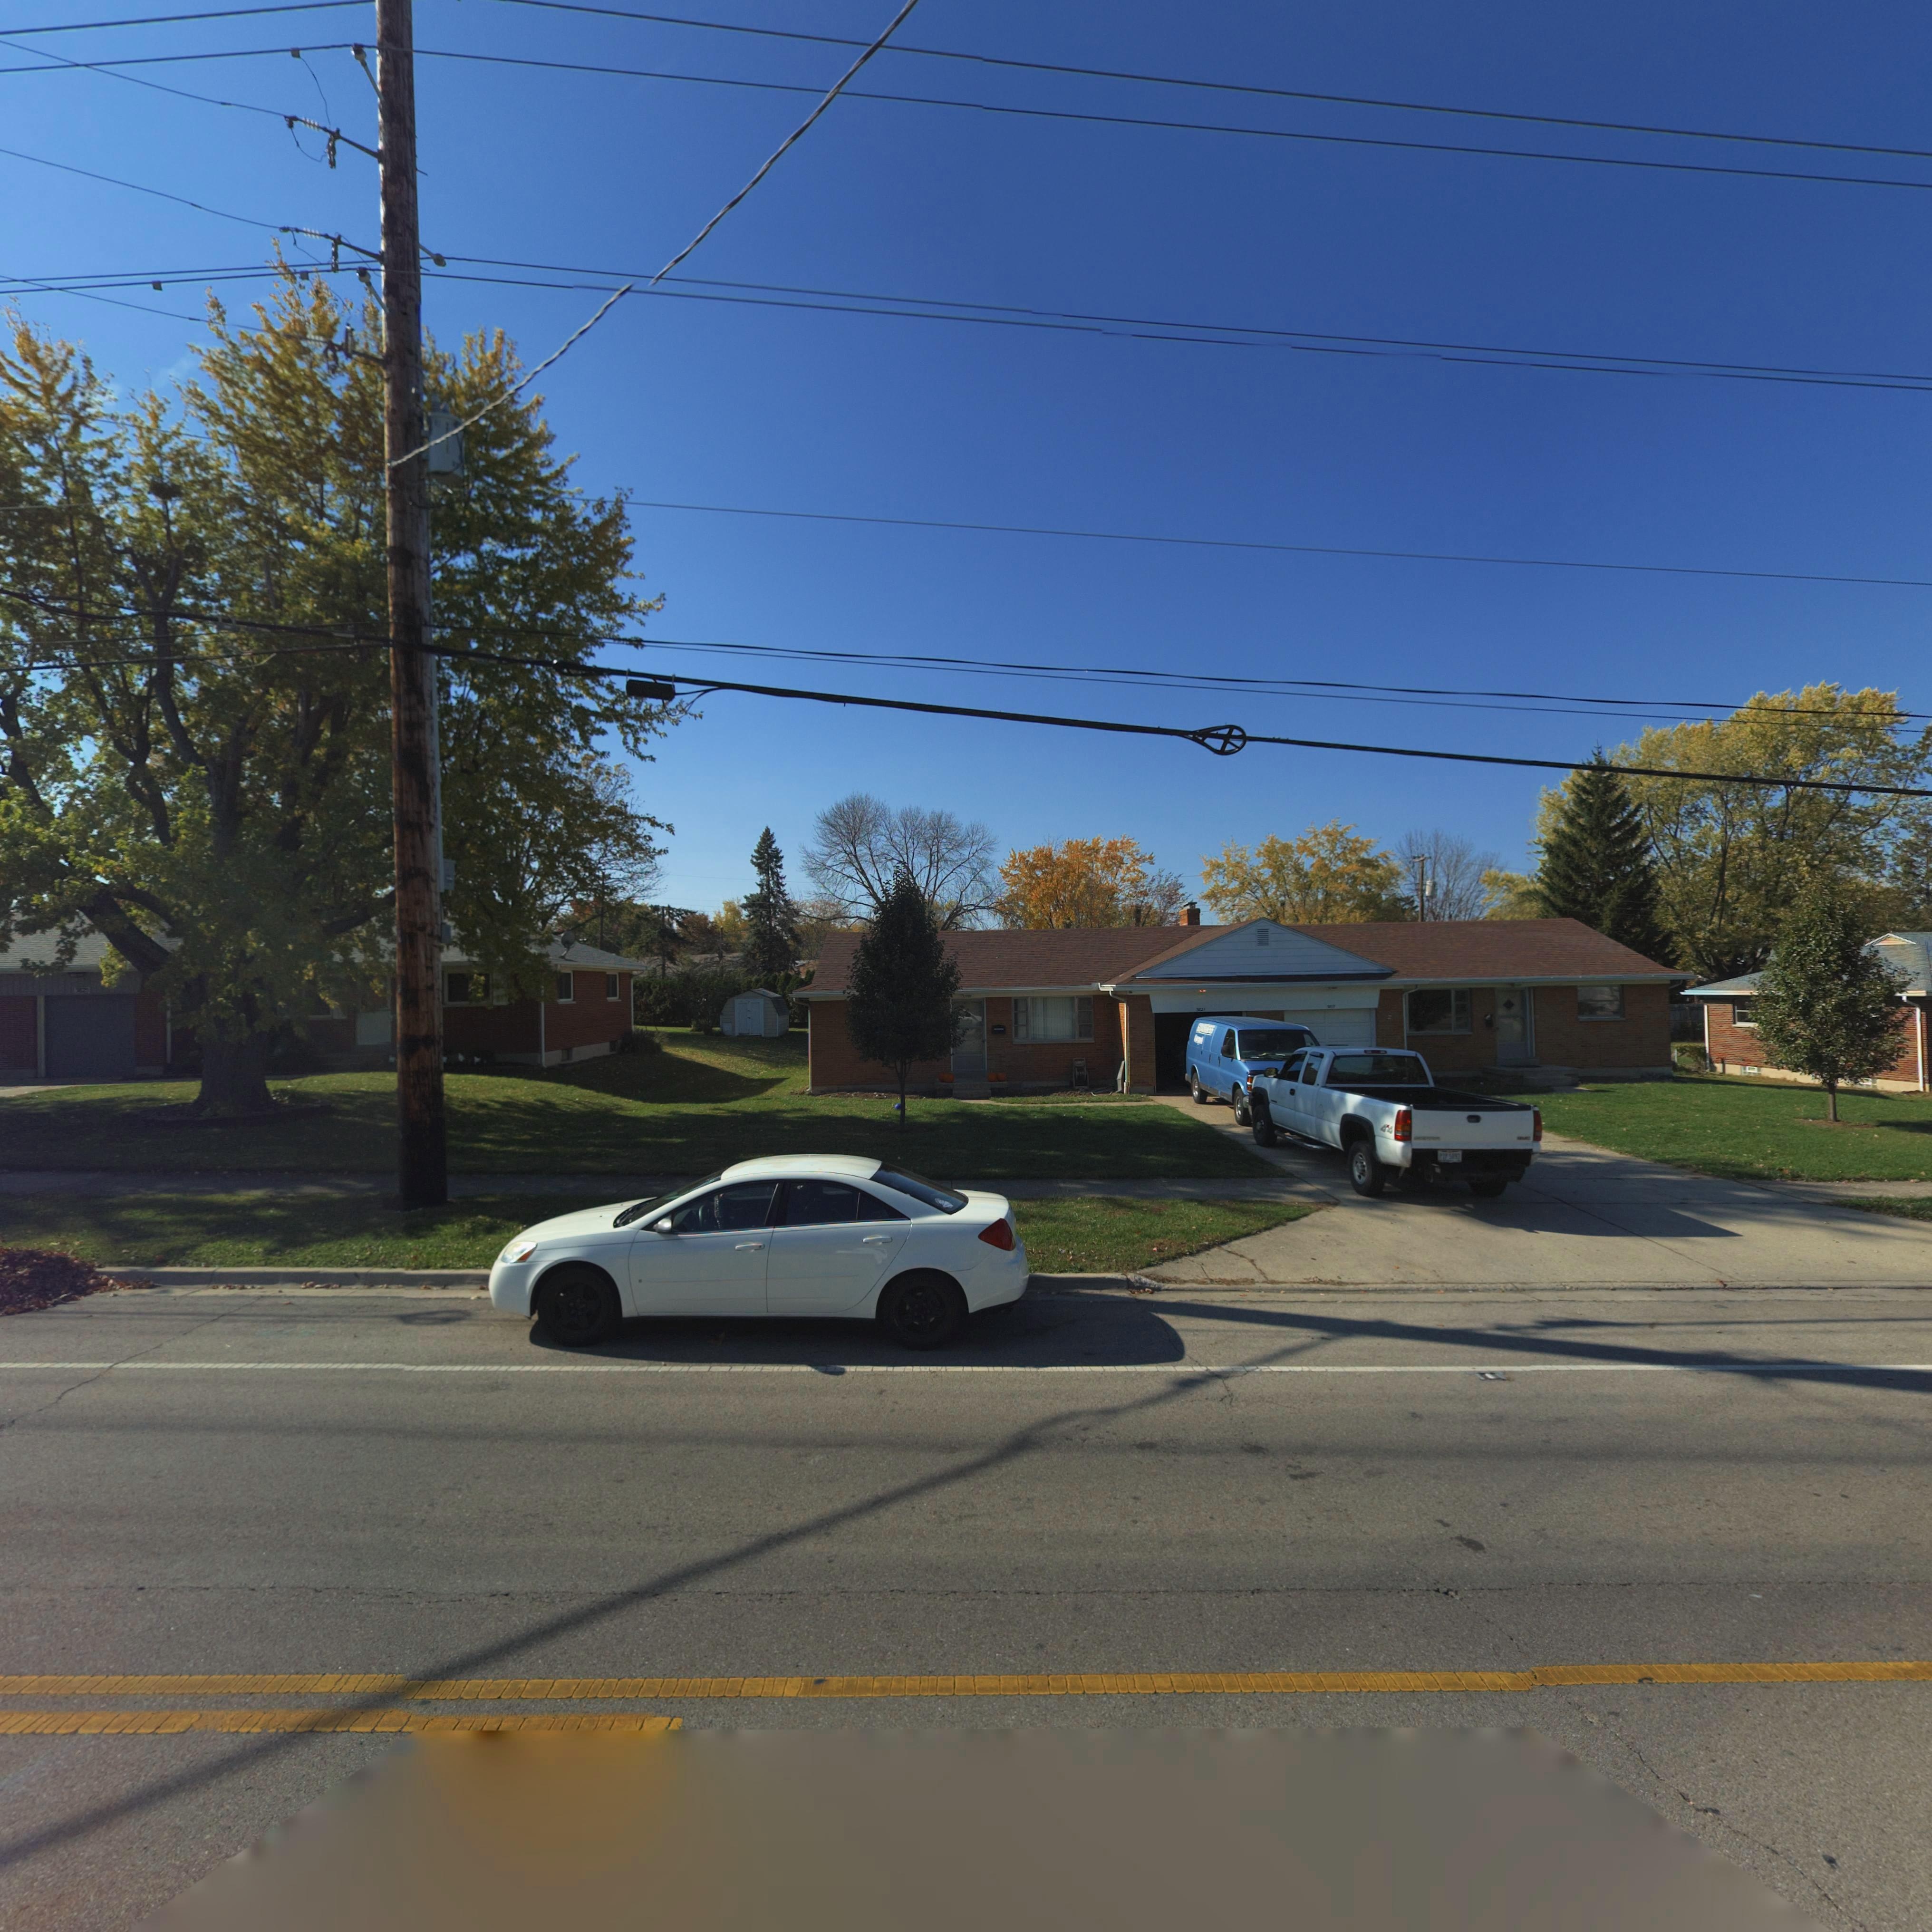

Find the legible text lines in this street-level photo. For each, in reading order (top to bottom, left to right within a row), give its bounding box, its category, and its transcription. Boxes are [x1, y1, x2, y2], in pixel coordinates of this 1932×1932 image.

[75, 987, 89, 994] StreetNumber: 3825
[1196, 1007, 1206, 1012] StreetNumber: 3821
[1326, 1005, 1336, 1009] StreetNumber: 3817
[1379, 1123, 1395, 1135] None: 4x4
[1413, 1136, 1440, 1142] None: SIERRA
[1517, 1136, 1530, 1141] None: GMC
[1438, 1152, 1461, 1160] None: PIP 5893